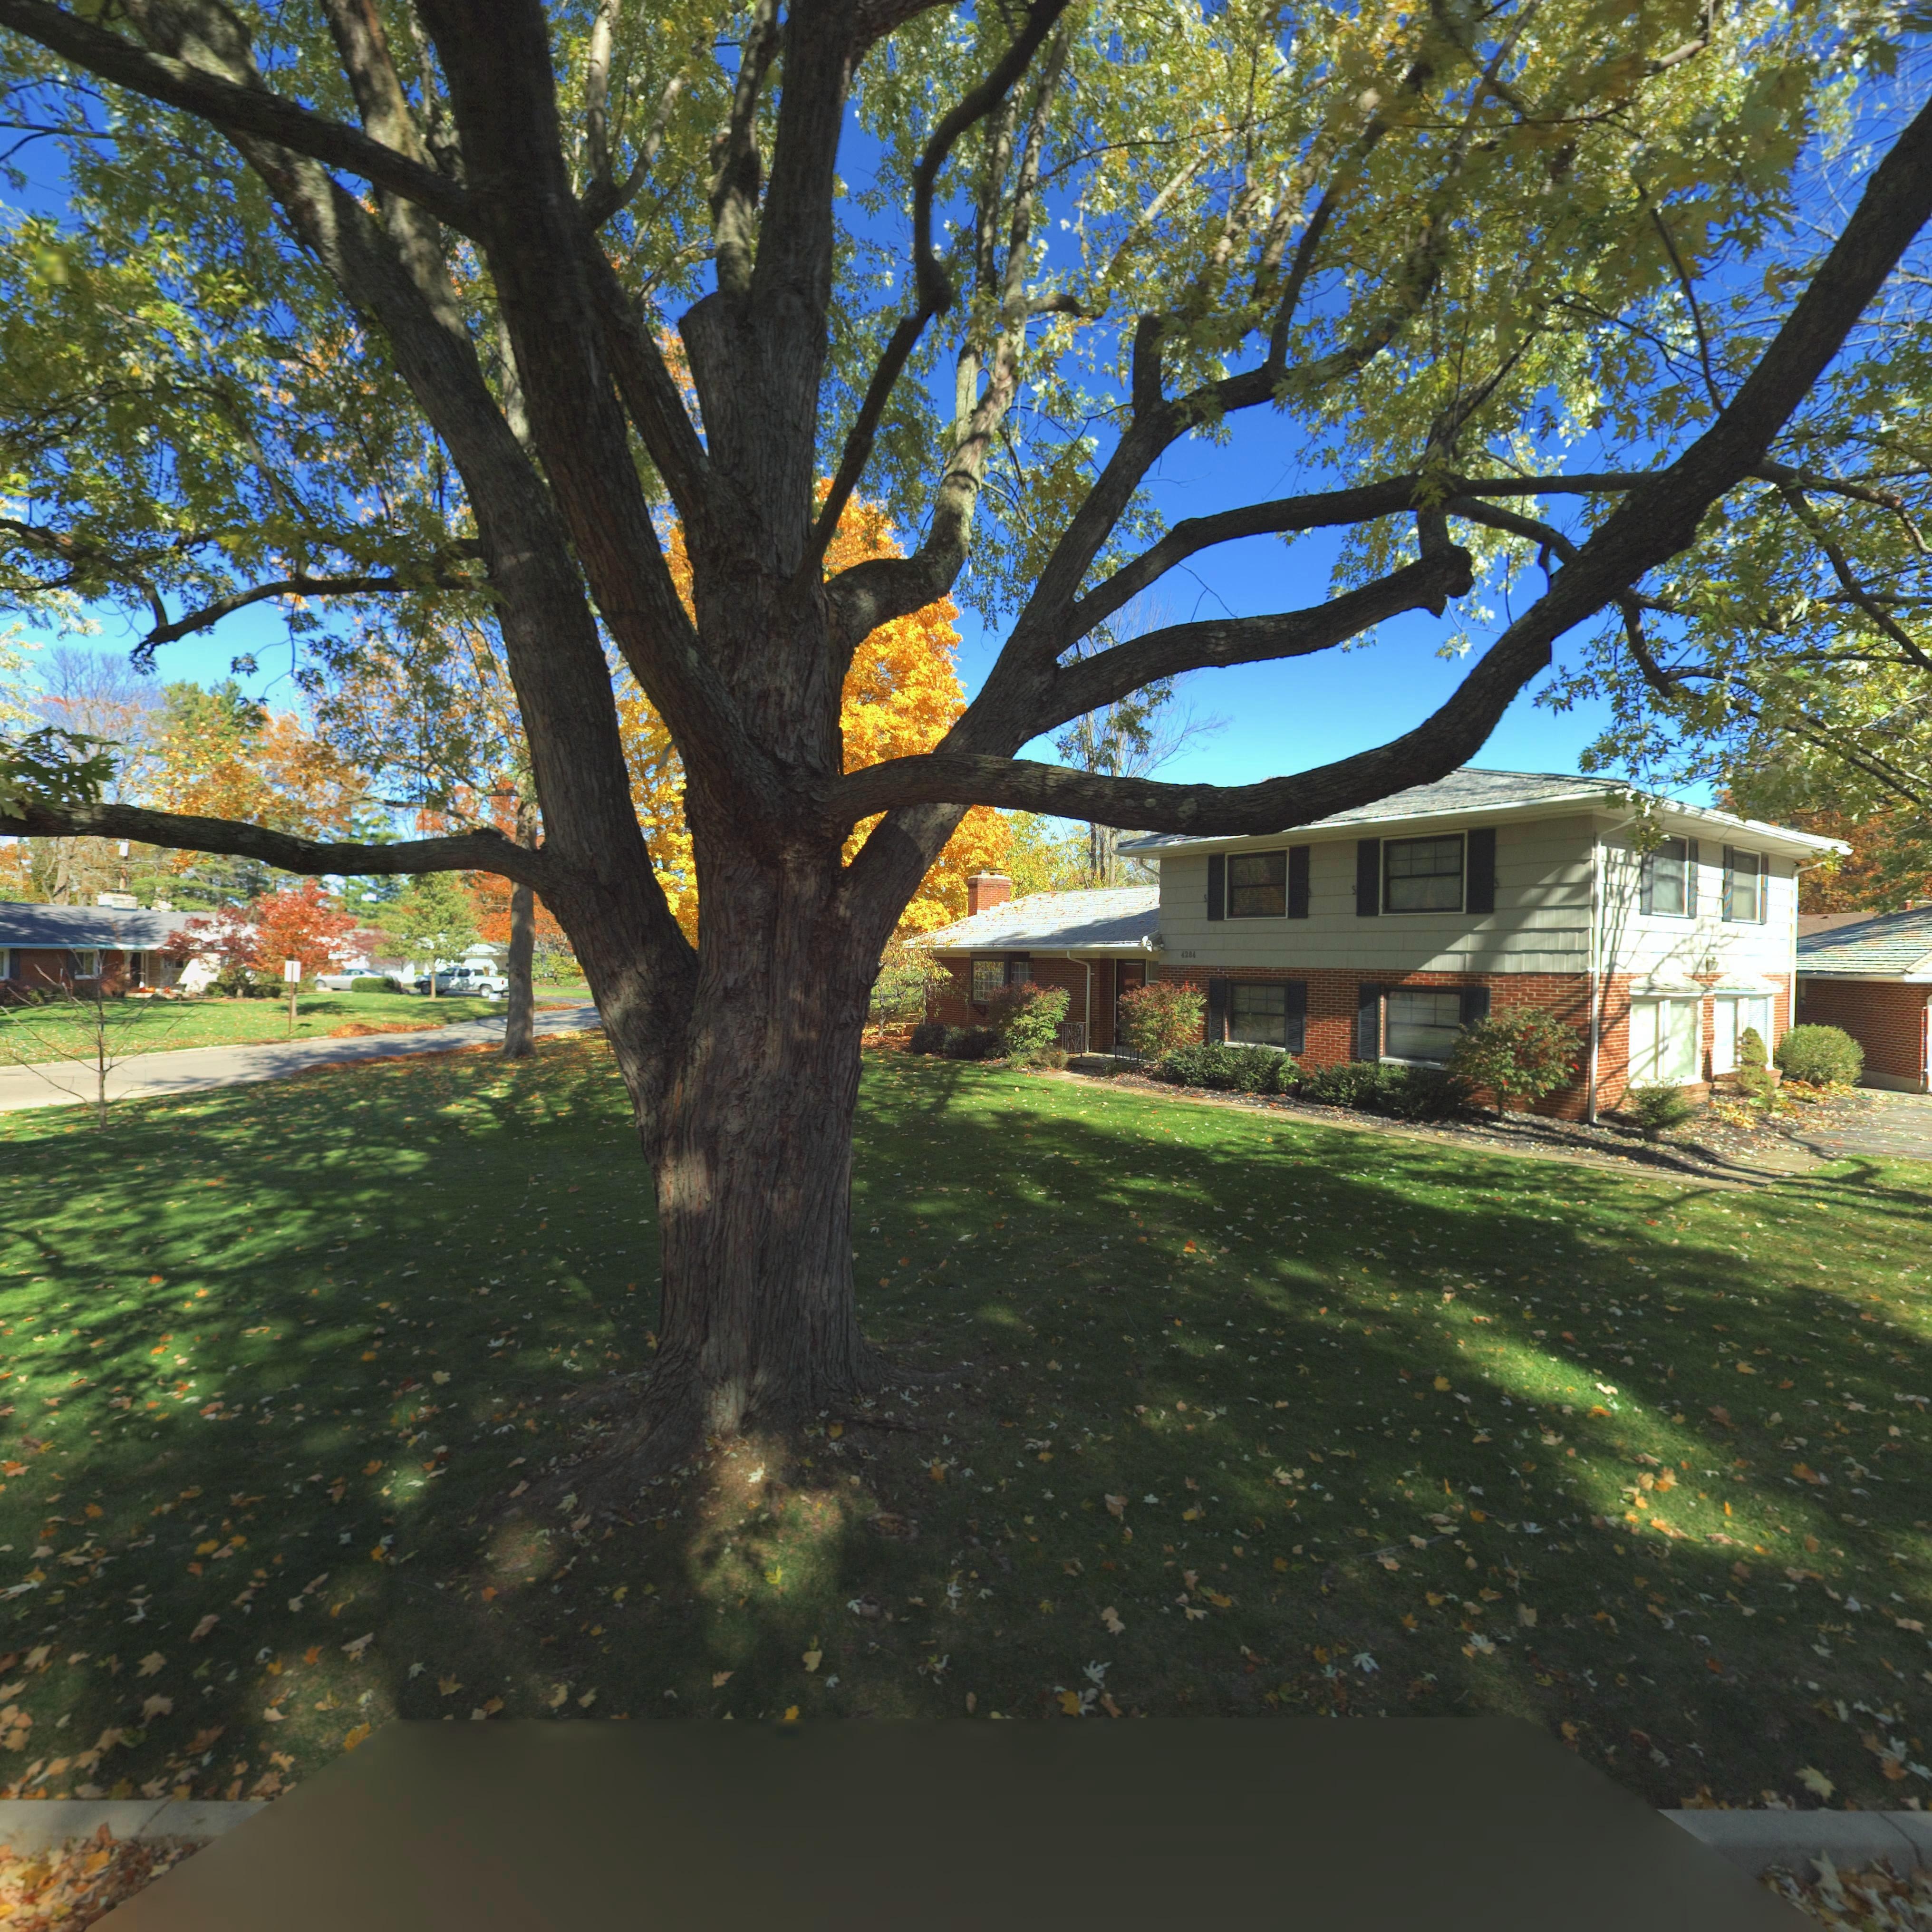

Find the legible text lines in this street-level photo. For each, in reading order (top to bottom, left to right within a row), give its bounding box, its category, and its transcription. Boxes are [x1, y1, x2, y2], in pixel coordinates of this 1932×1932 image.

[1180, 951, 1196, 958] StreetNumber: 4284